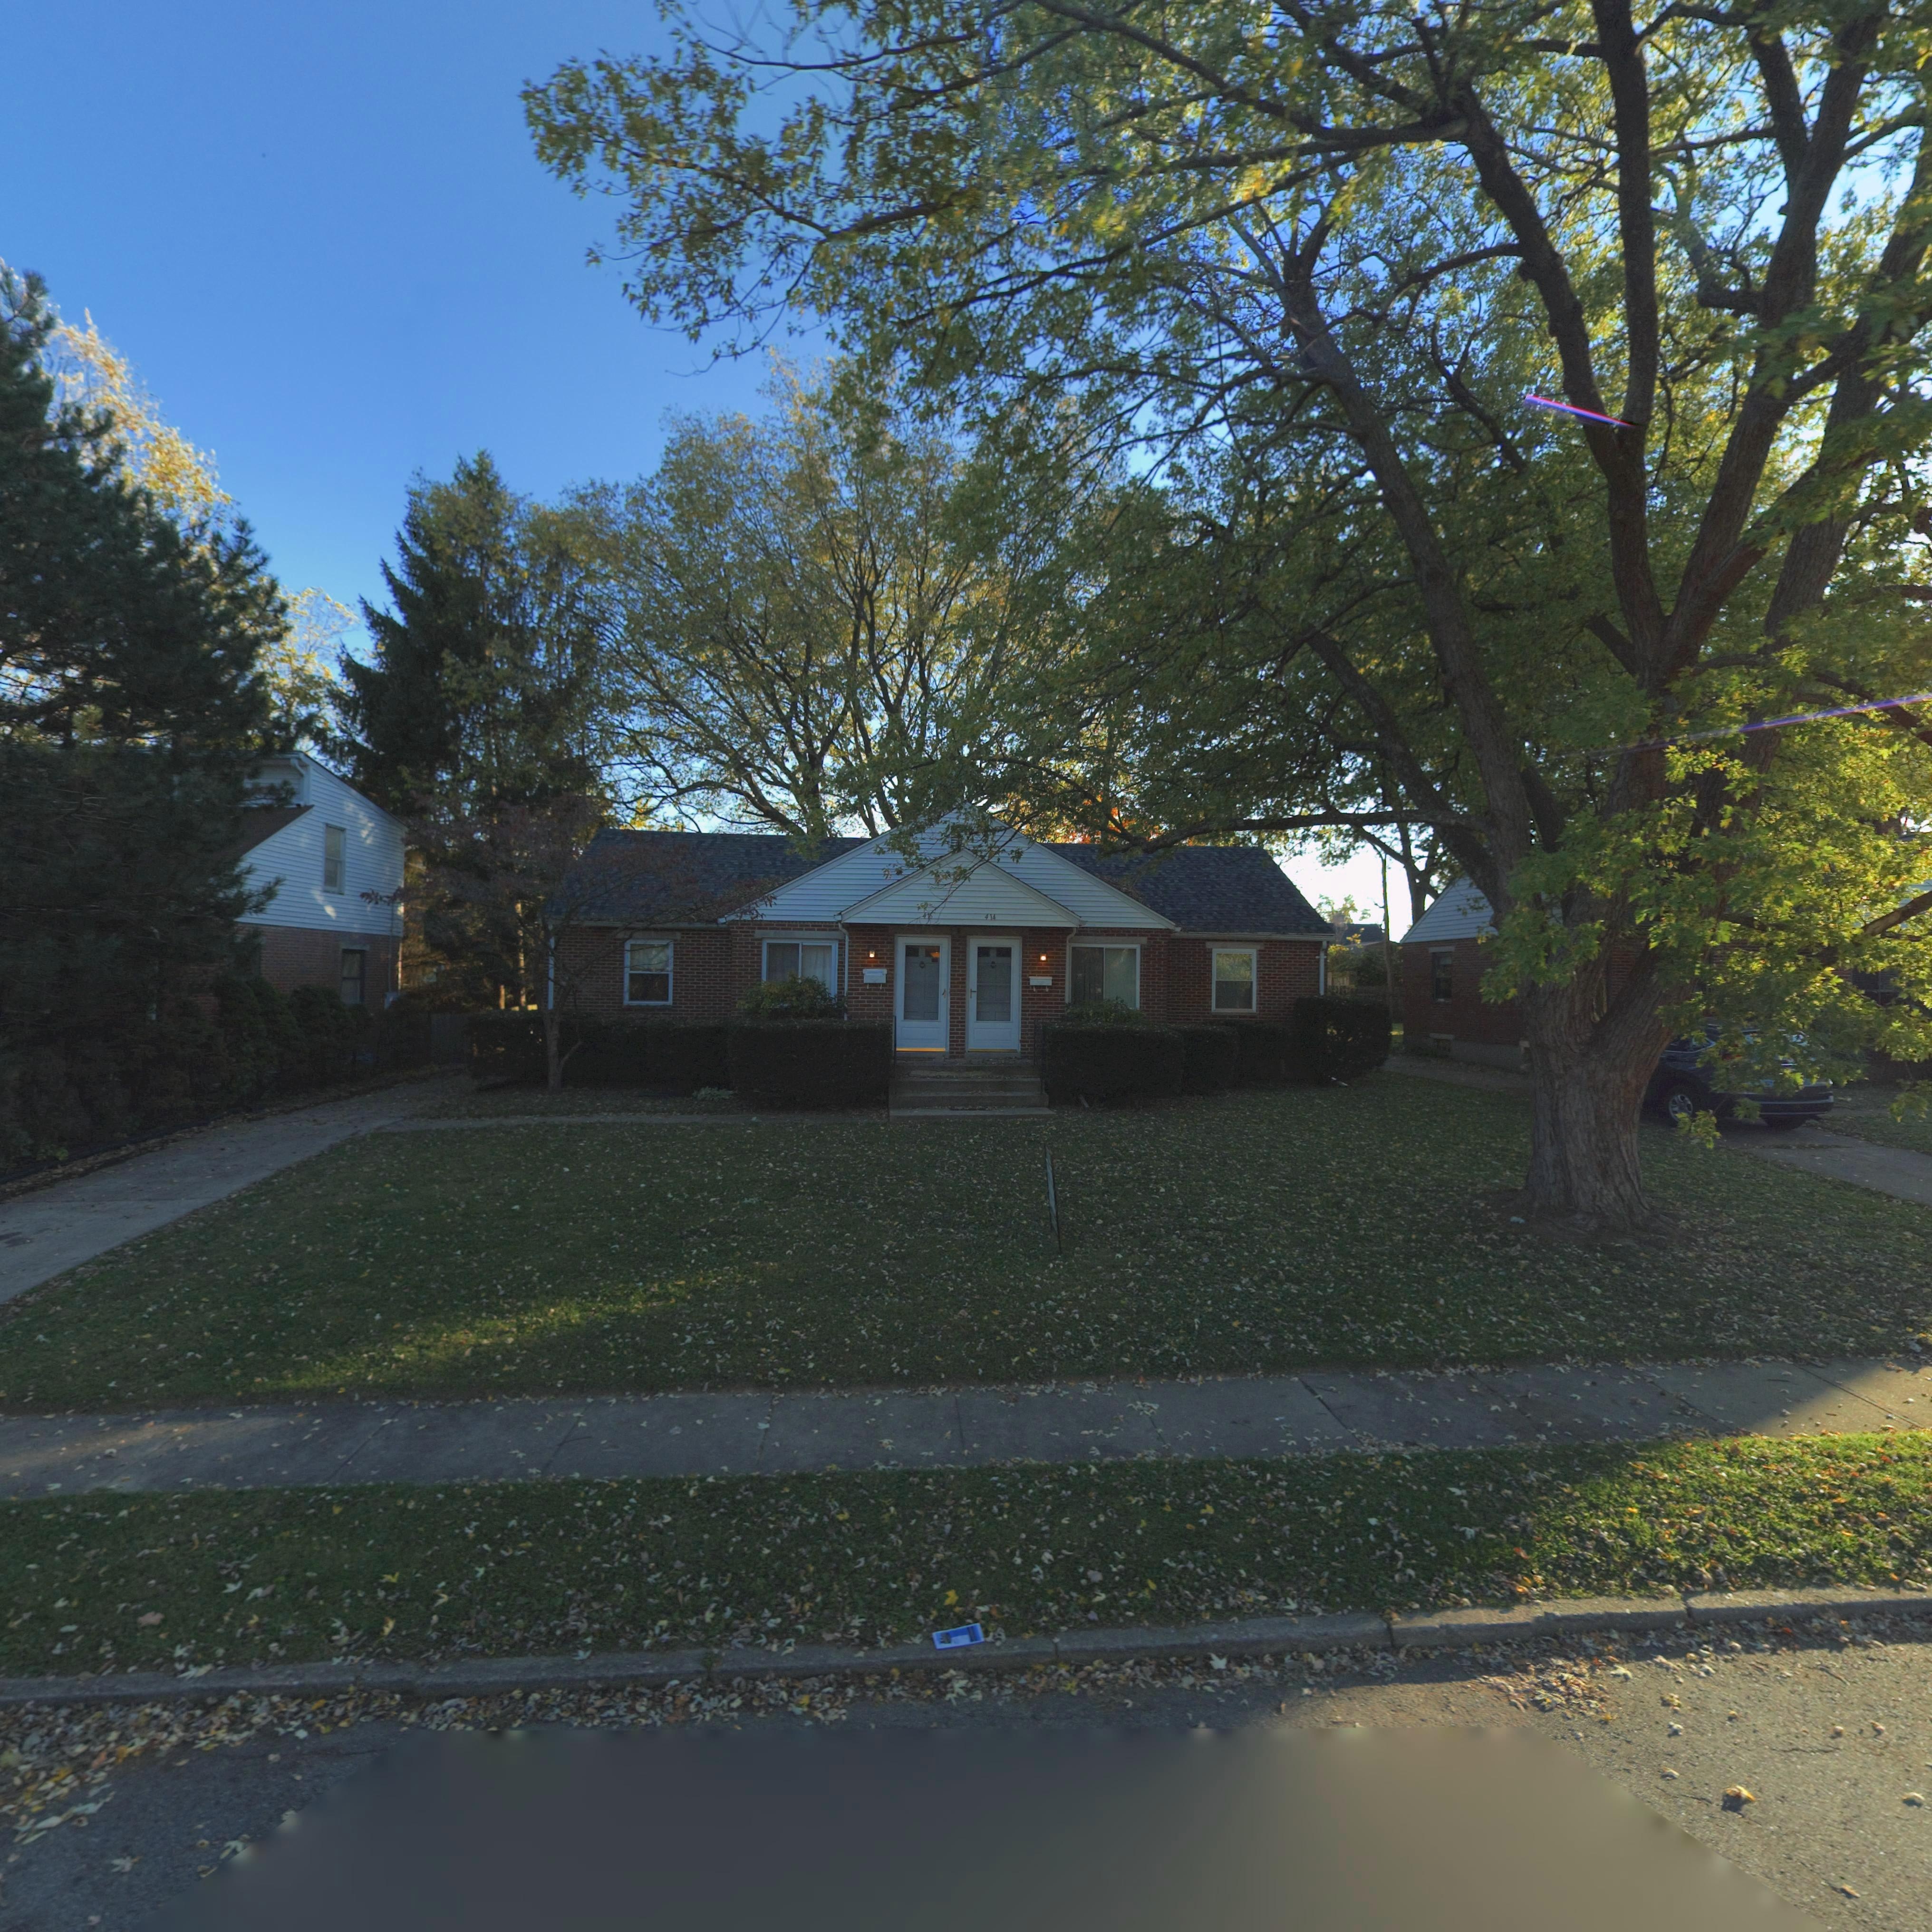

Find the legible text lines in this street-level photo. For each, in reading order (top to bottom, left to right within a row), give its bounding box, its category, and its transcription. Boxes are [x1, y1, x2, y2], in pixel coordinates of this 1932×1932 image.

[984, 912, 997, 921] StreetNumber: 414